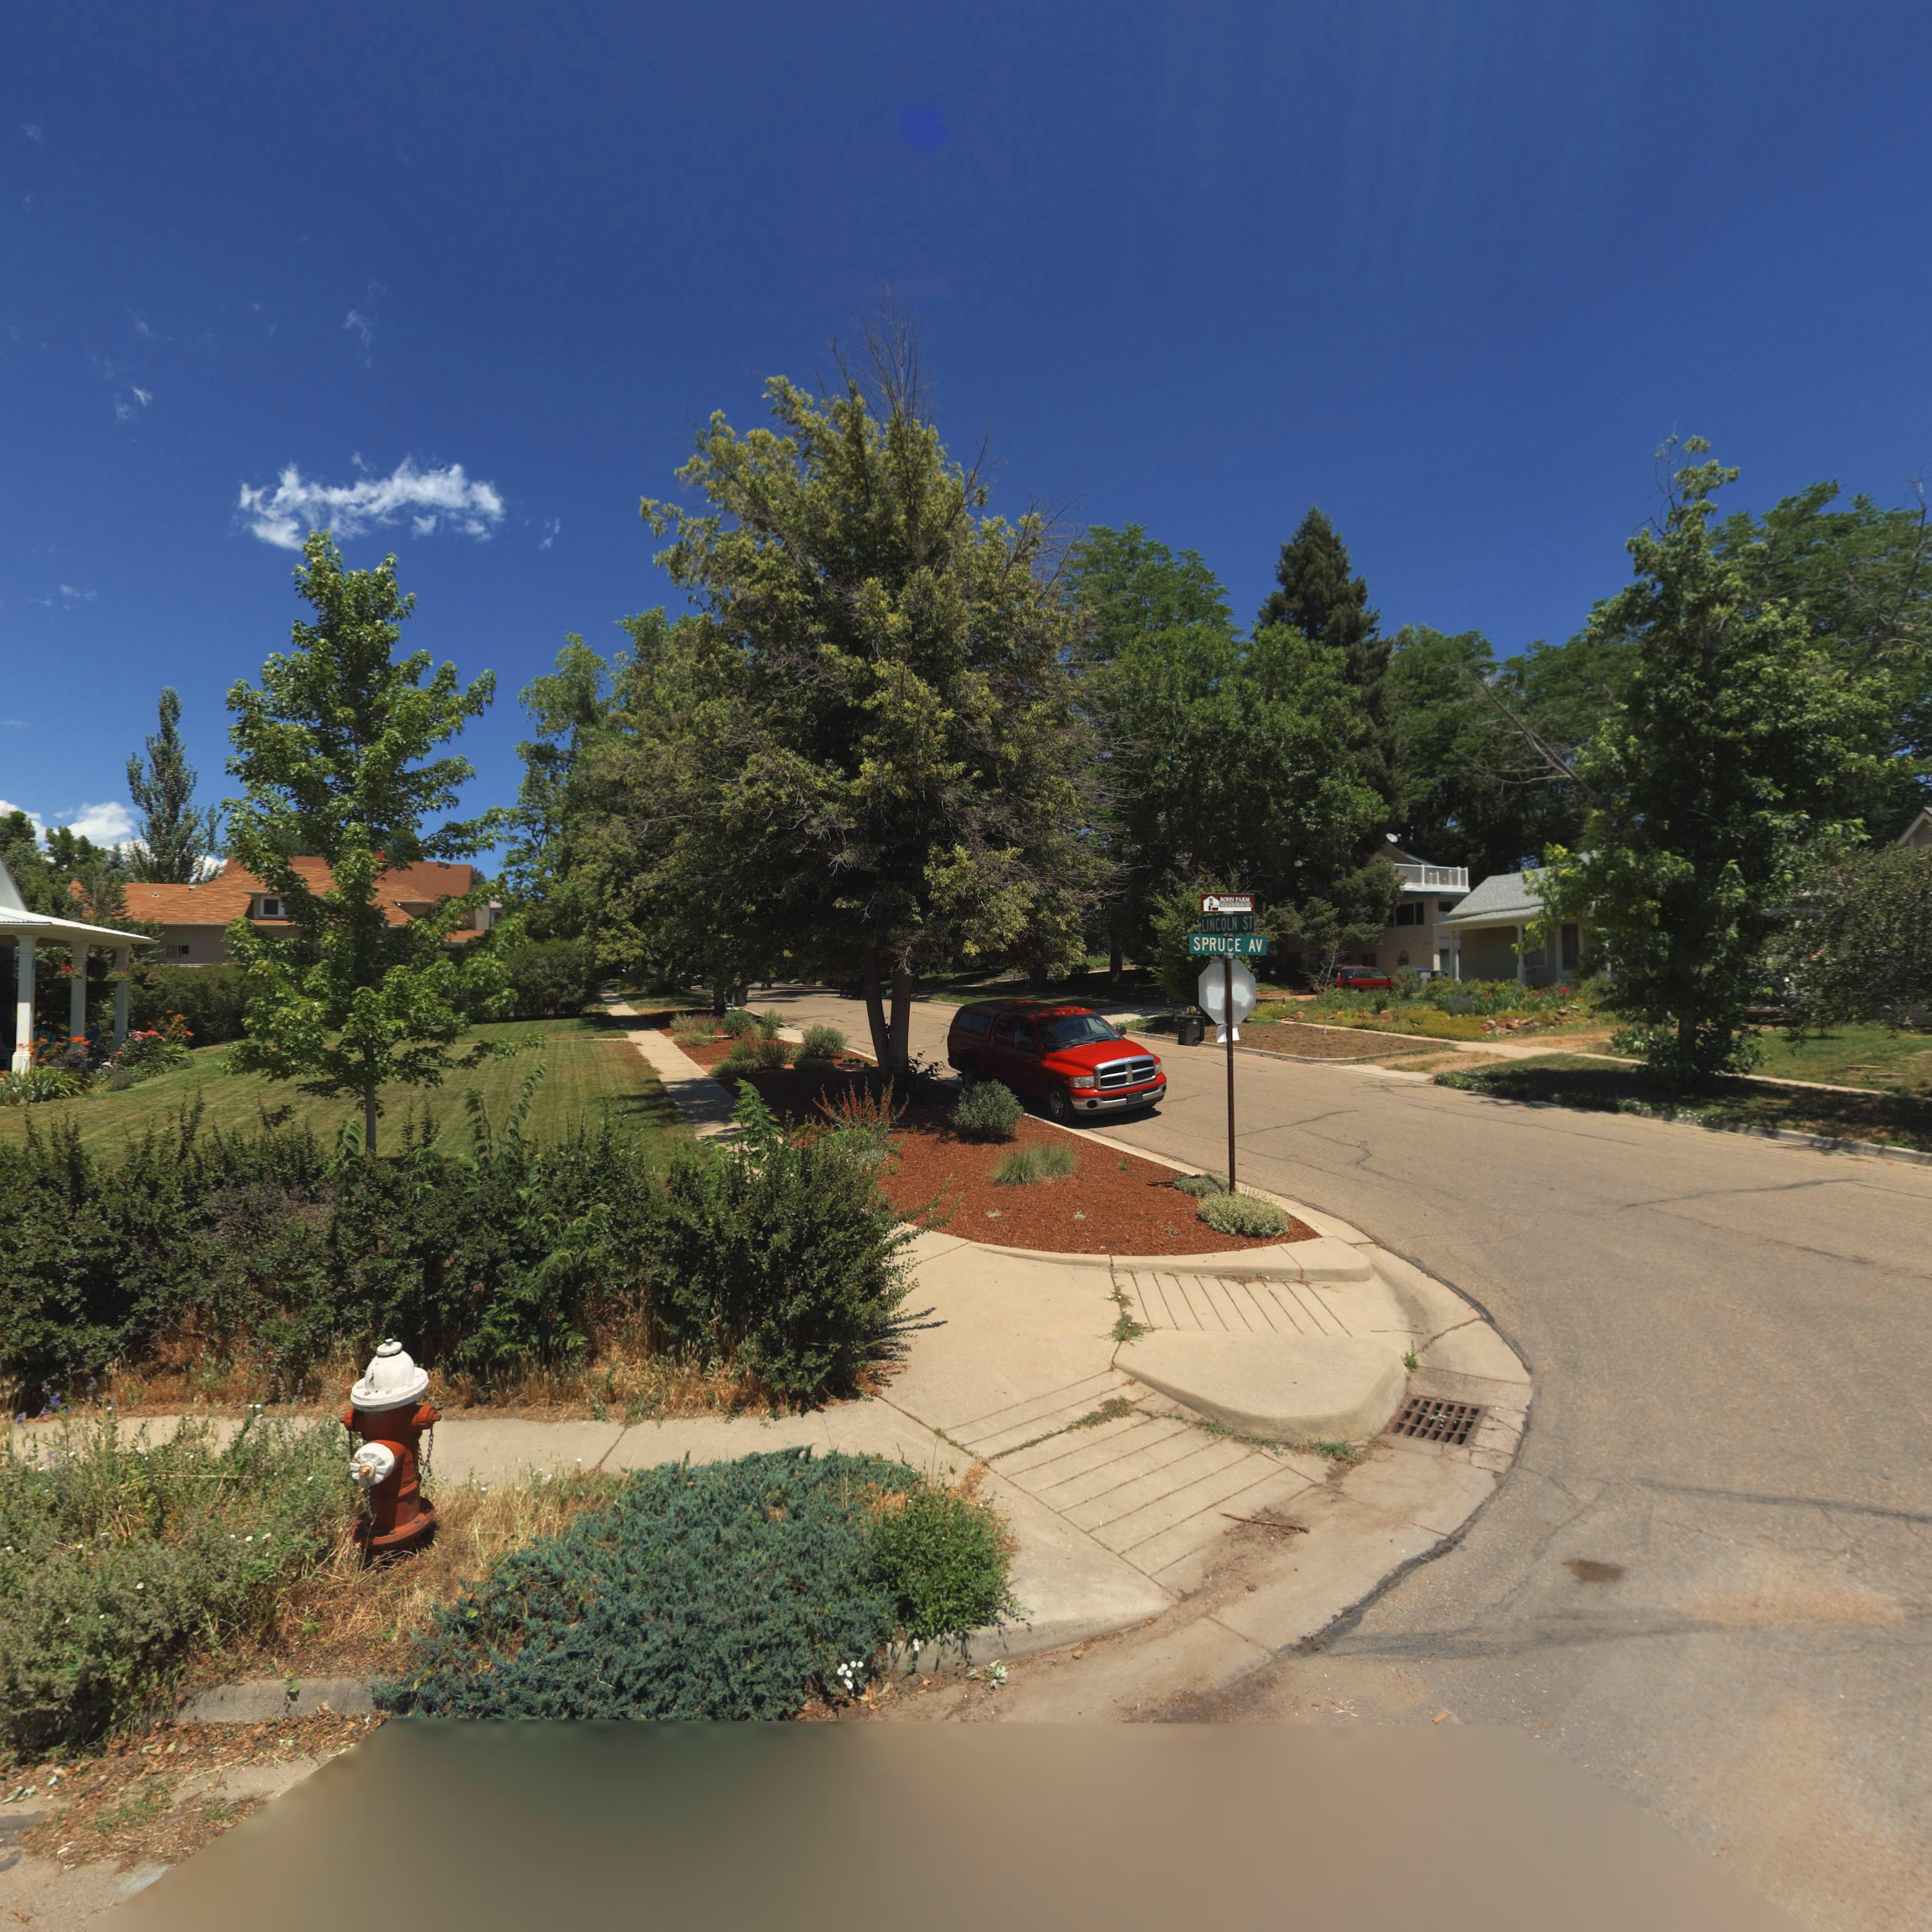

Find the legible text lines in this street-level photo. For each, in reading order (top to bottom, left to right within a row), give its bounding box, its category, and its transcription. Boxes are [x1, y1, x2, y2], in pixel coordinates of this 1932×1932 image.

[1202, 915, 1253, 932] StreetName: LINCOLN ST
[1193, 936, 1263, 952] StreetName: SPRUCE AV